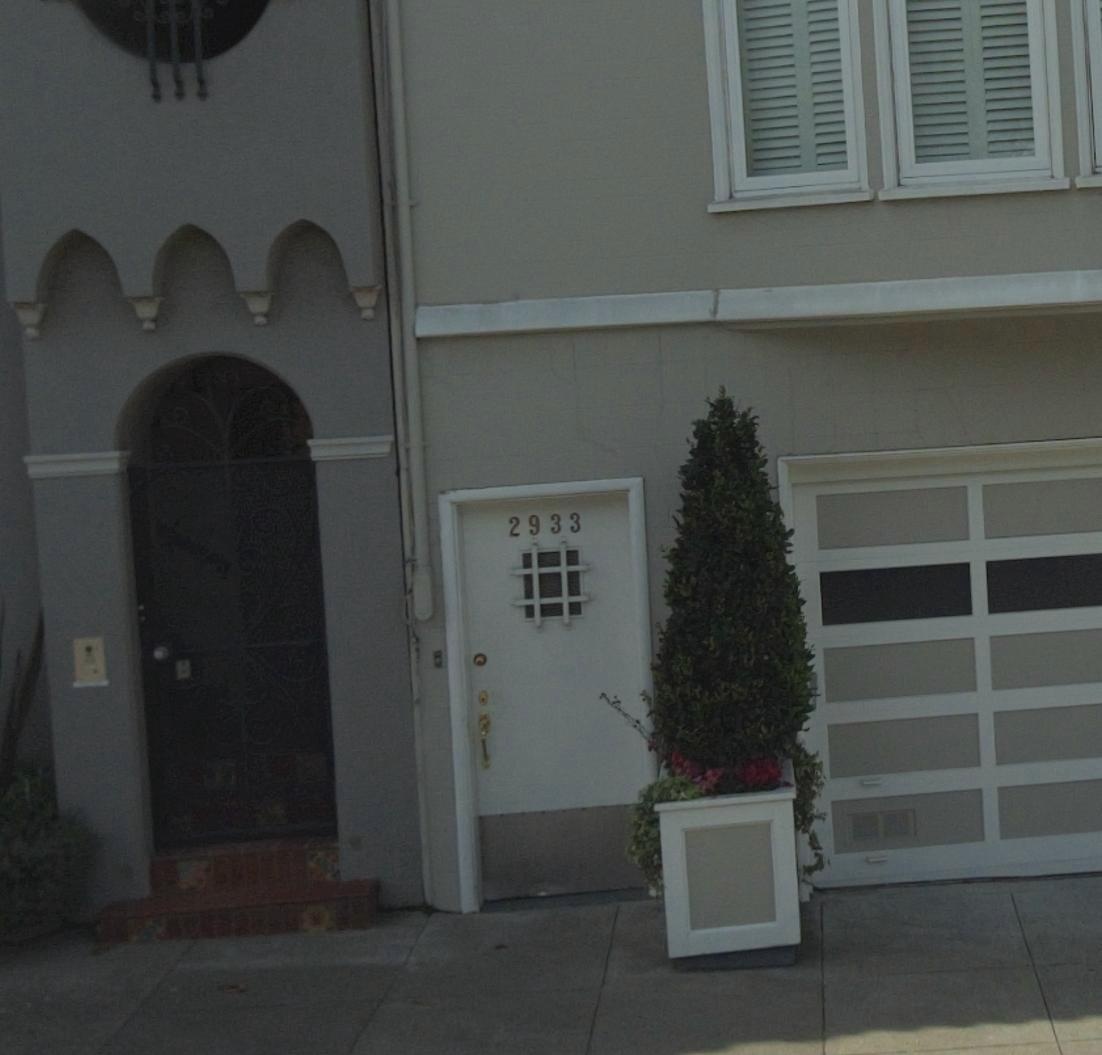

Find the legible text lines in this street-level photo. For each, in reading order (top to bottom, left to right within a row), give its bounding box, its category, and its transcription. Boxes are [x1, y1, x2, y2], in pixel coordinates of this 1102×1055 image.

[506, 508, 584, 541] StreetNumber: 2933